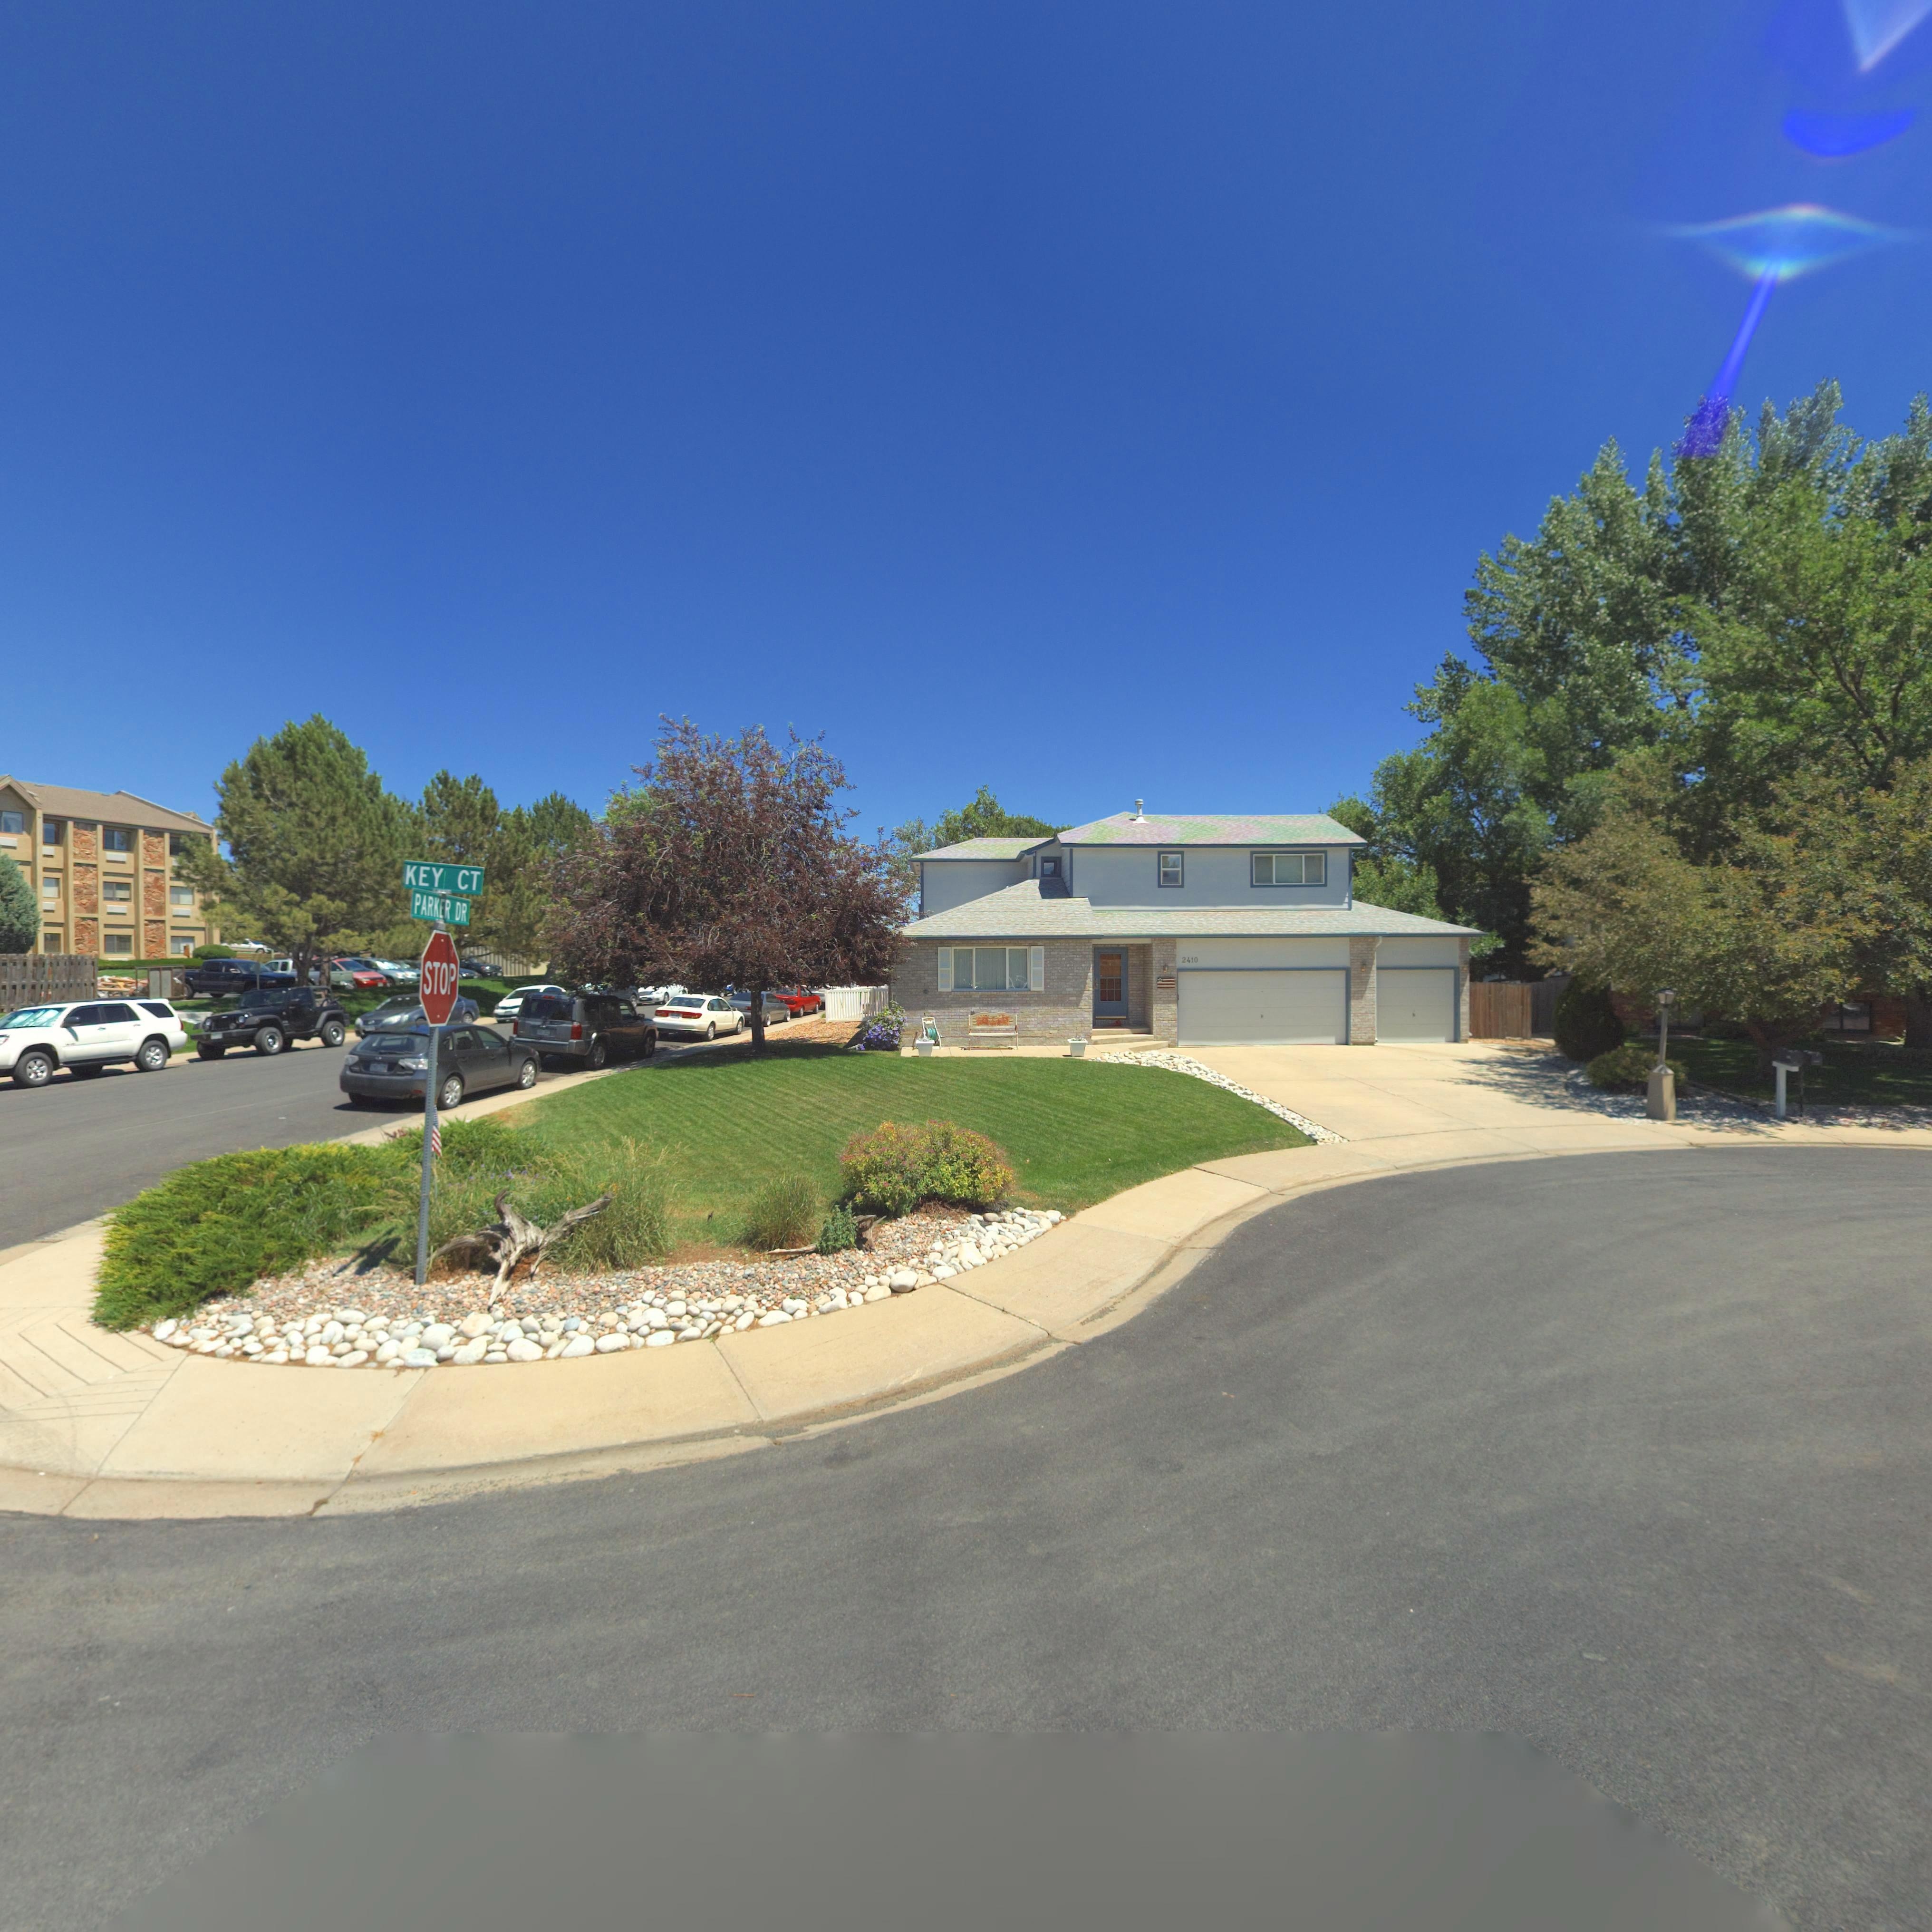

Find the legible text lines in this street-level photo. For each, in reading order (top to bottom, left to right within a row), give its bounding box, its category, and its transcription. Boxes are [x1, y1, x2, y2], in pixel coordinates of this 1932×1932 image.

[405, 864, 482, 891] BusinessName: KEY CT
[414, 892, 468, 922] BusinessName: PARKER DR
[1181, 956, 1198, 963] StreetNumber: 2410